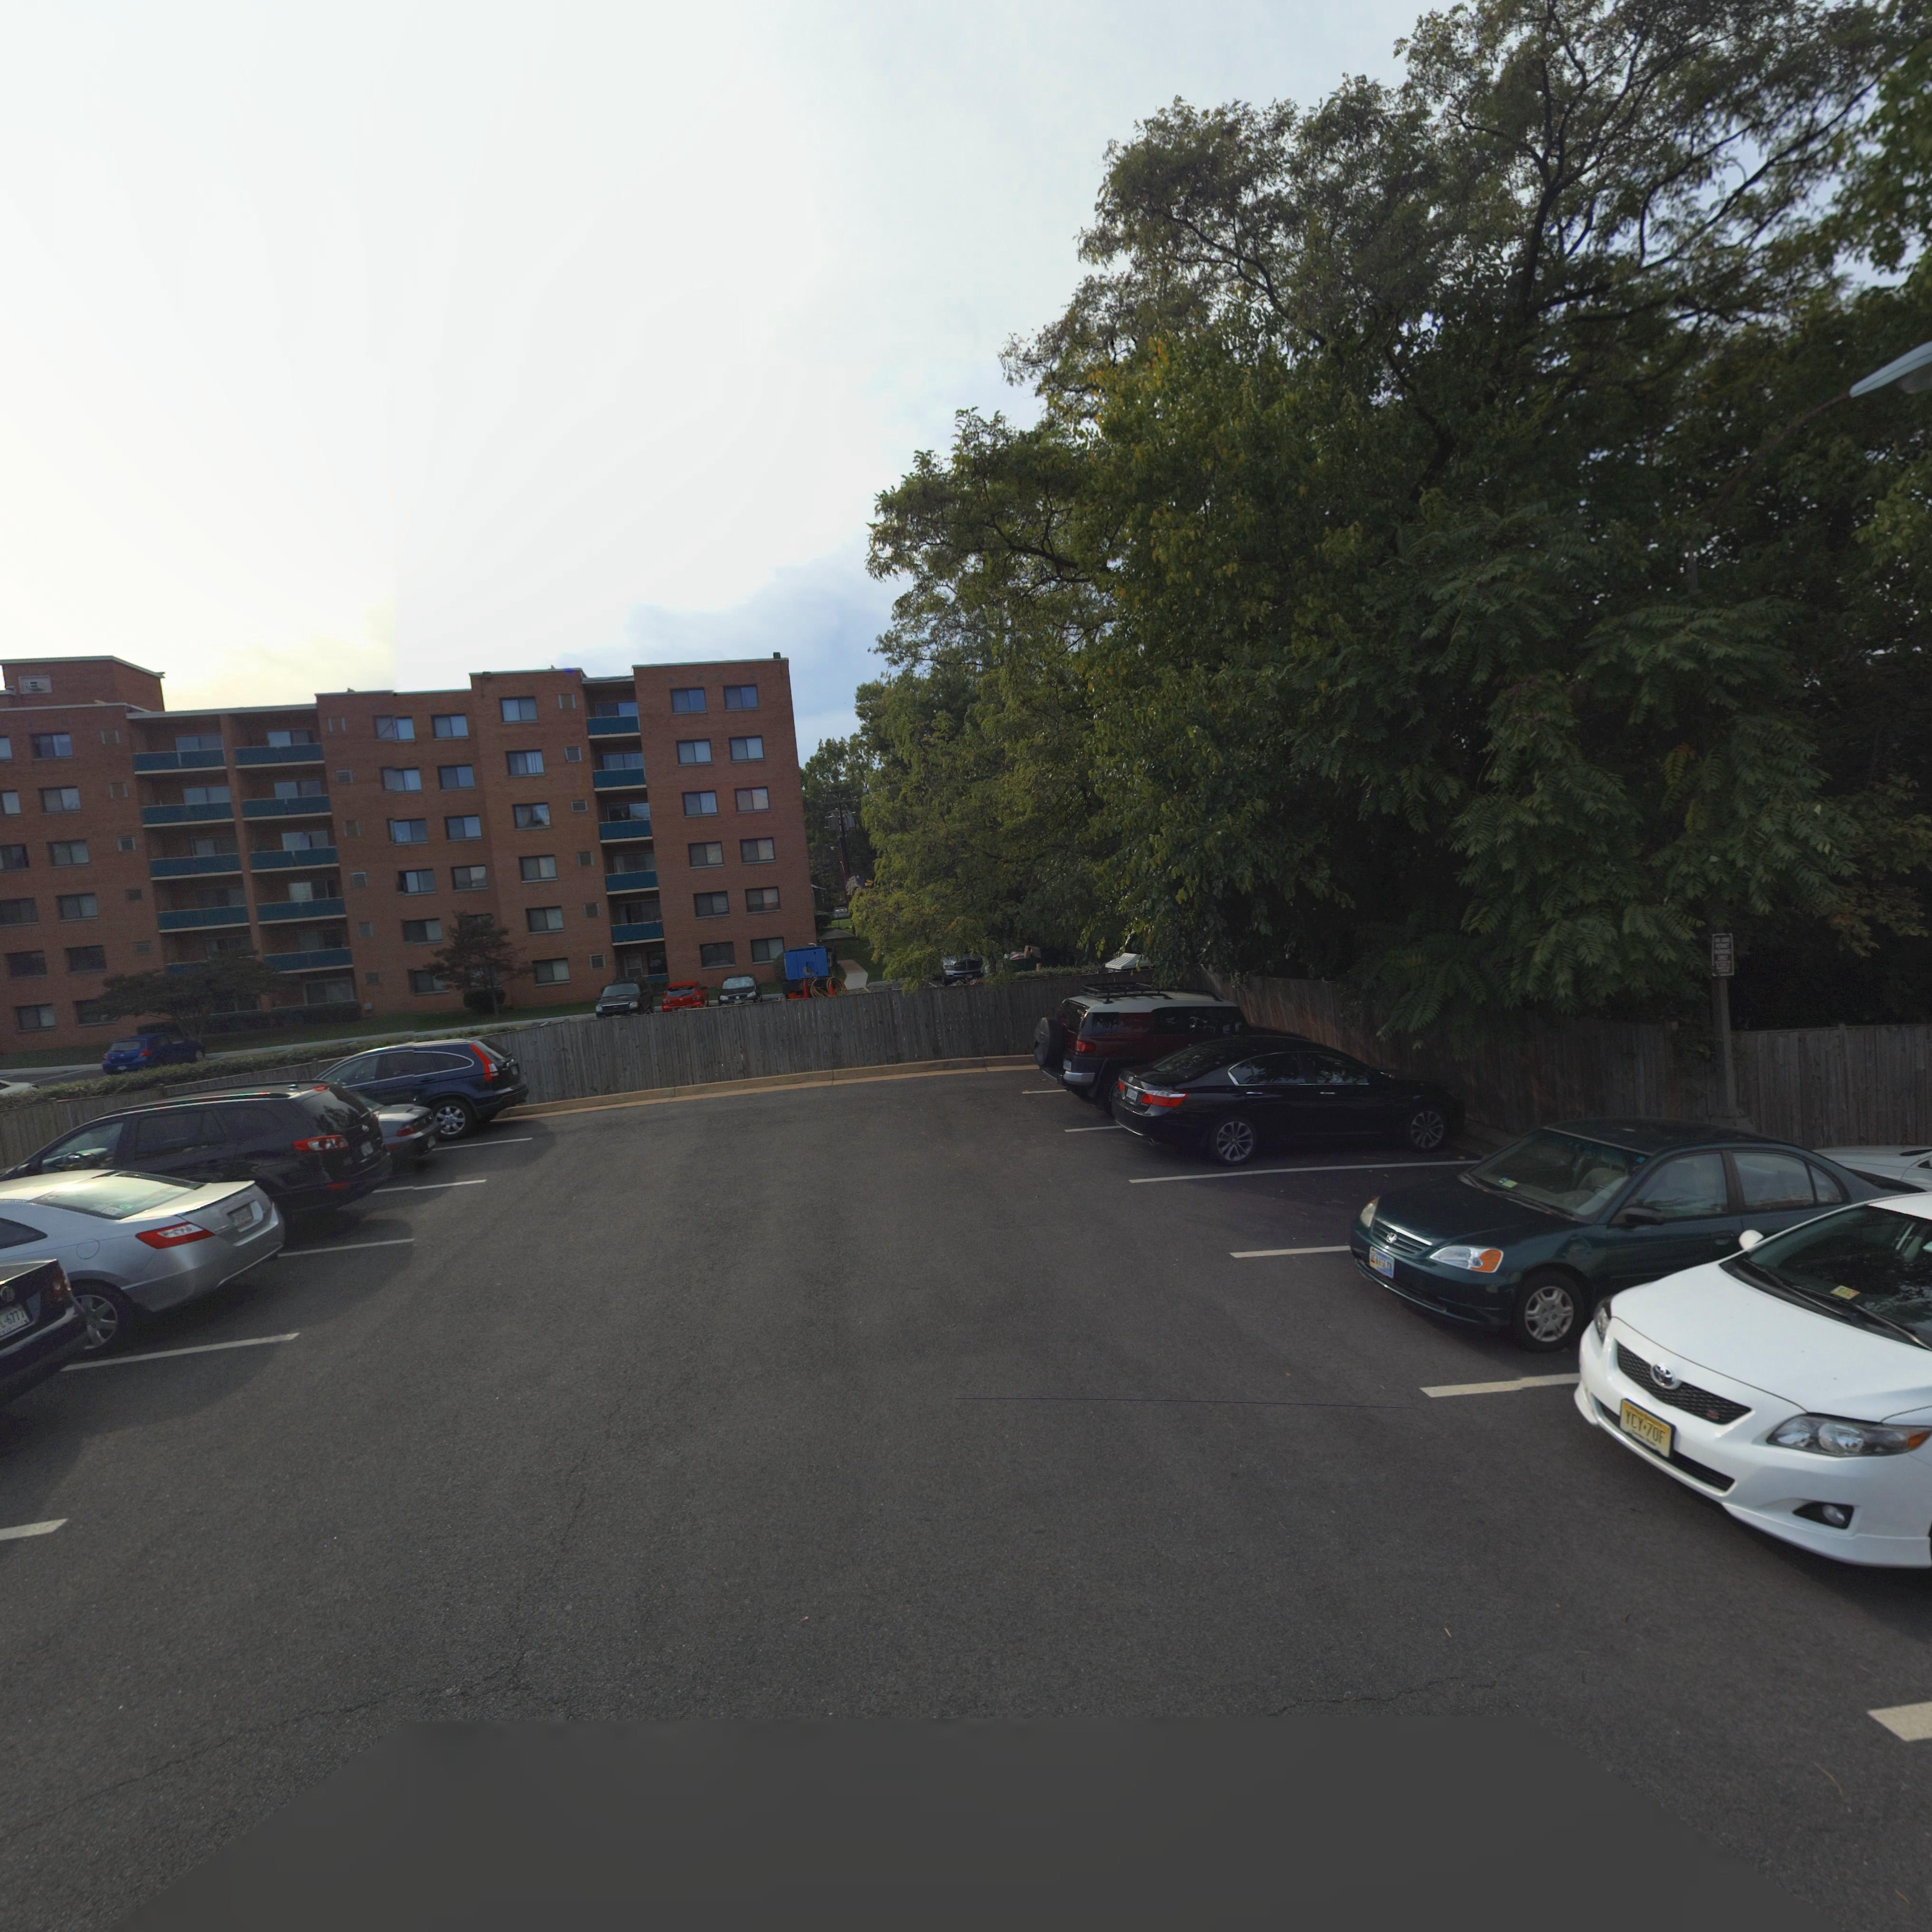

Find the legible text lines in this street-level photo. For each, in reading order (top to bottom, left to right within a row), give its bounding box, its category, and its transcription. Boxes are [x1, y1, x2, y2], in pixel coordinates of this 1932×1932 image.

[4, 1306, 27, 1327] None: 6777
[1624, 1408, 1668, 1447] None: YCY*70F